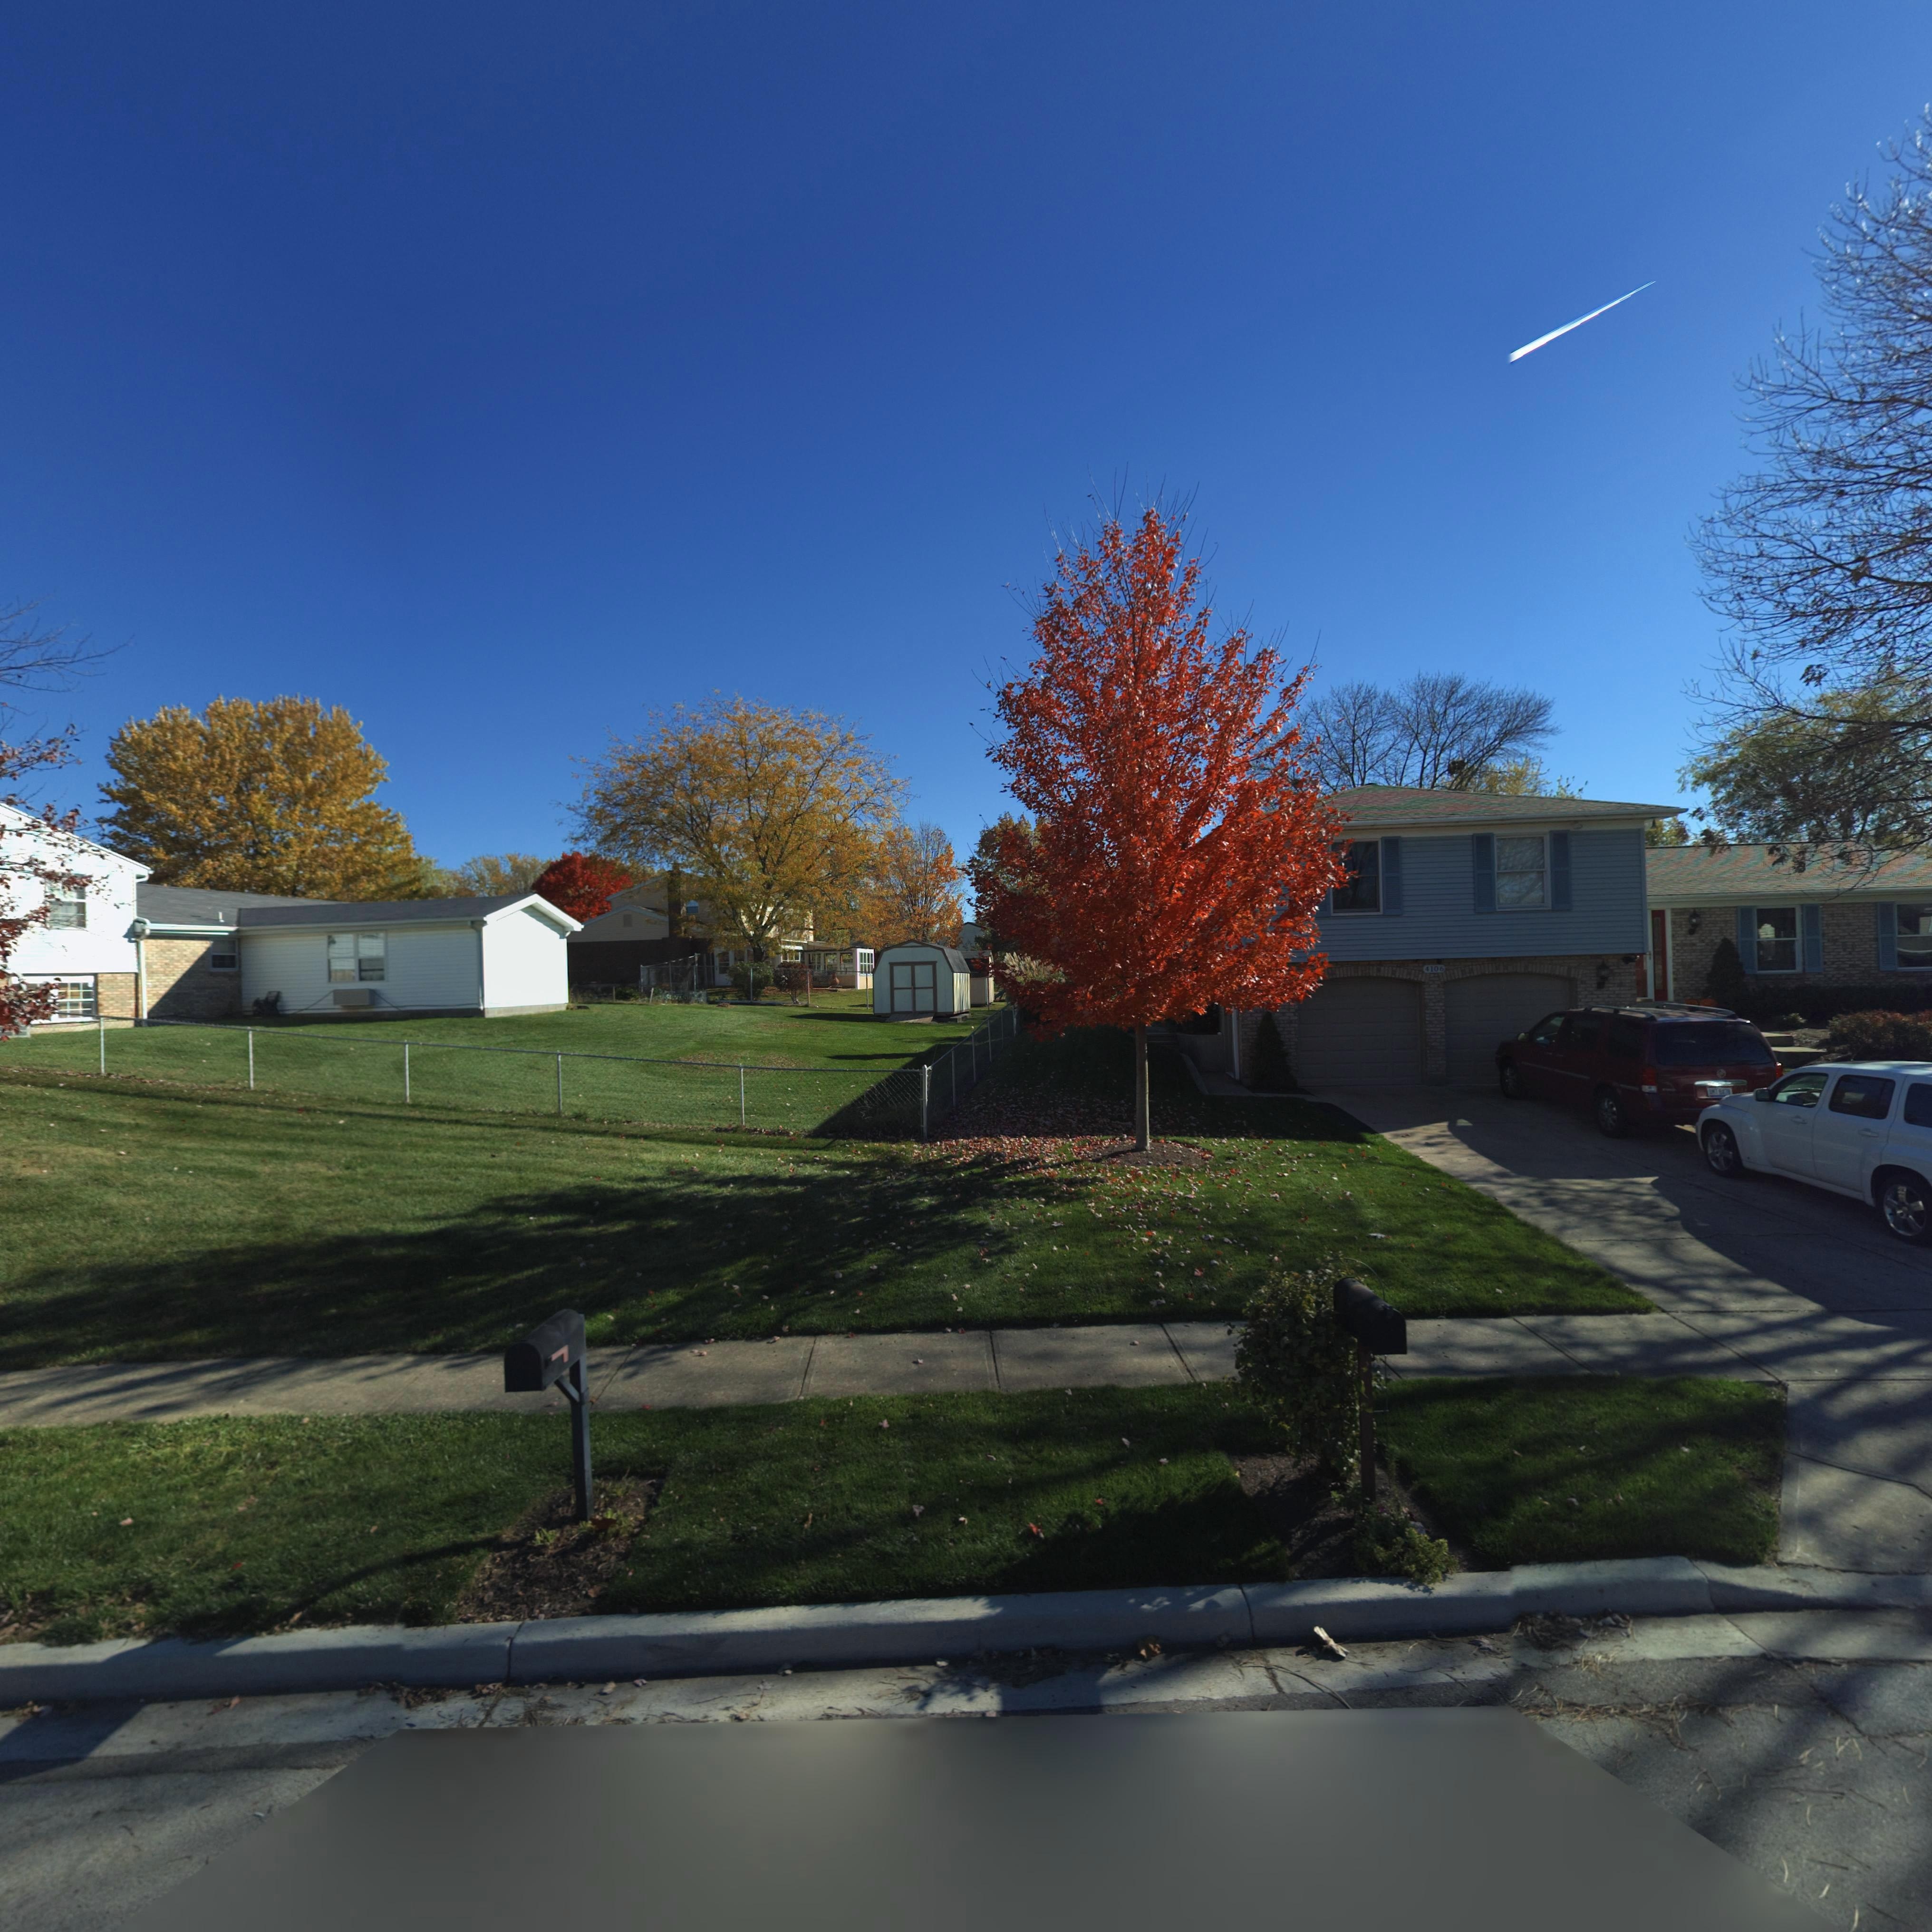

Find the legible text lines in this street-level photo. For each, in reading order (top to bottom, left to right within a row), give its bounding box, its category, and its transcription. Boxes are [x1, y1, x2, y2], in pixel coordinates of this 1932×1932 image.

[1424, 965, 1445, 972] StreetNumber: 4106